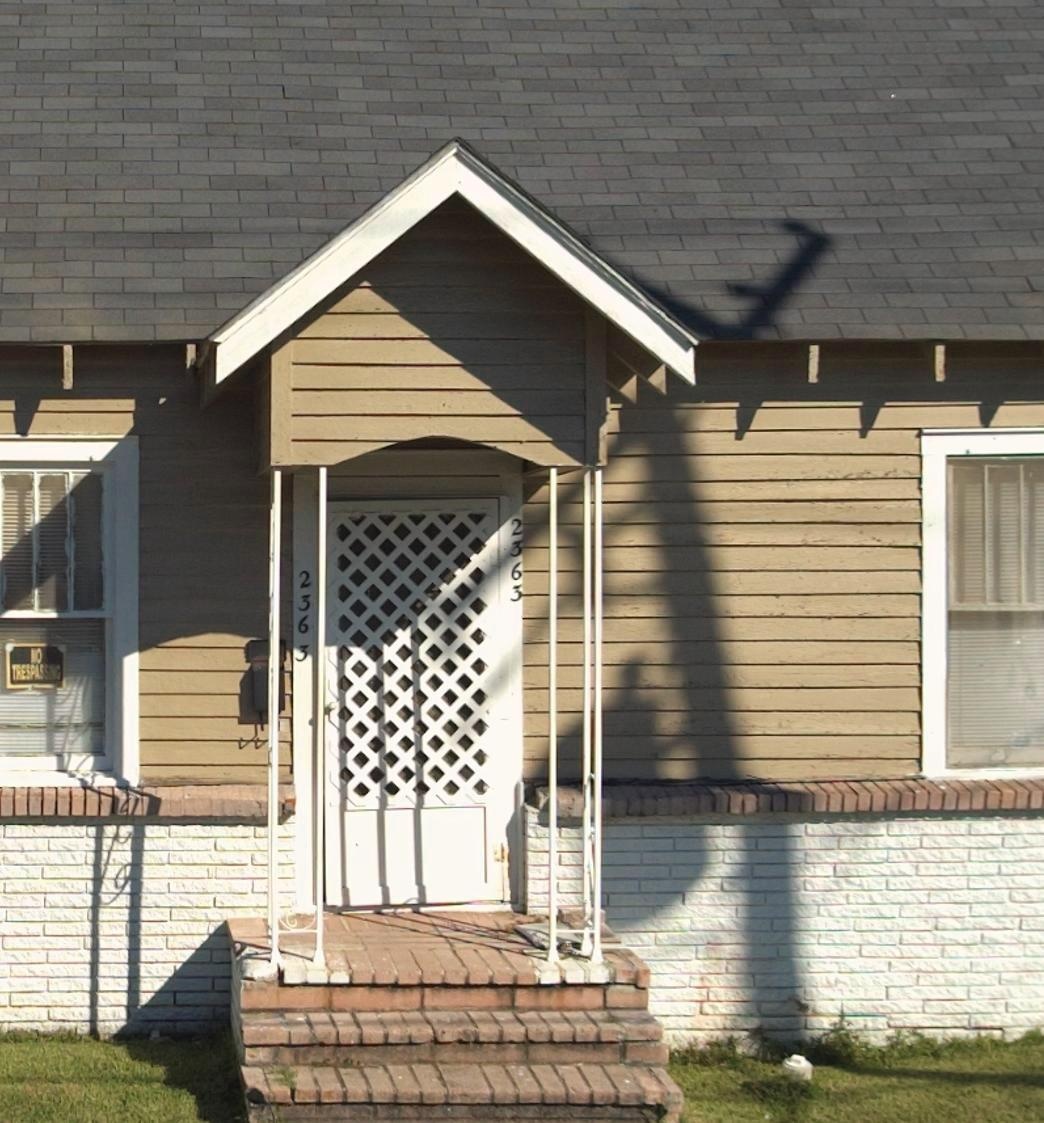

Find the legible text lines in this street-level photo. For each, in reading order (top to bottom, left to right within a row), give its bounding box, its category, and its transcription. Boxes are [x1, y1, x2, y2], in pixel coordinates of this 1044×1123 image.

[508, 515, 525, 604] StreetNumber: 2363
[29, 646, 44, 664] None: NO
[10, 662, 63, 683] None: TRESPASSING
[292, 565, 314, 665] StreetNumber: 2363